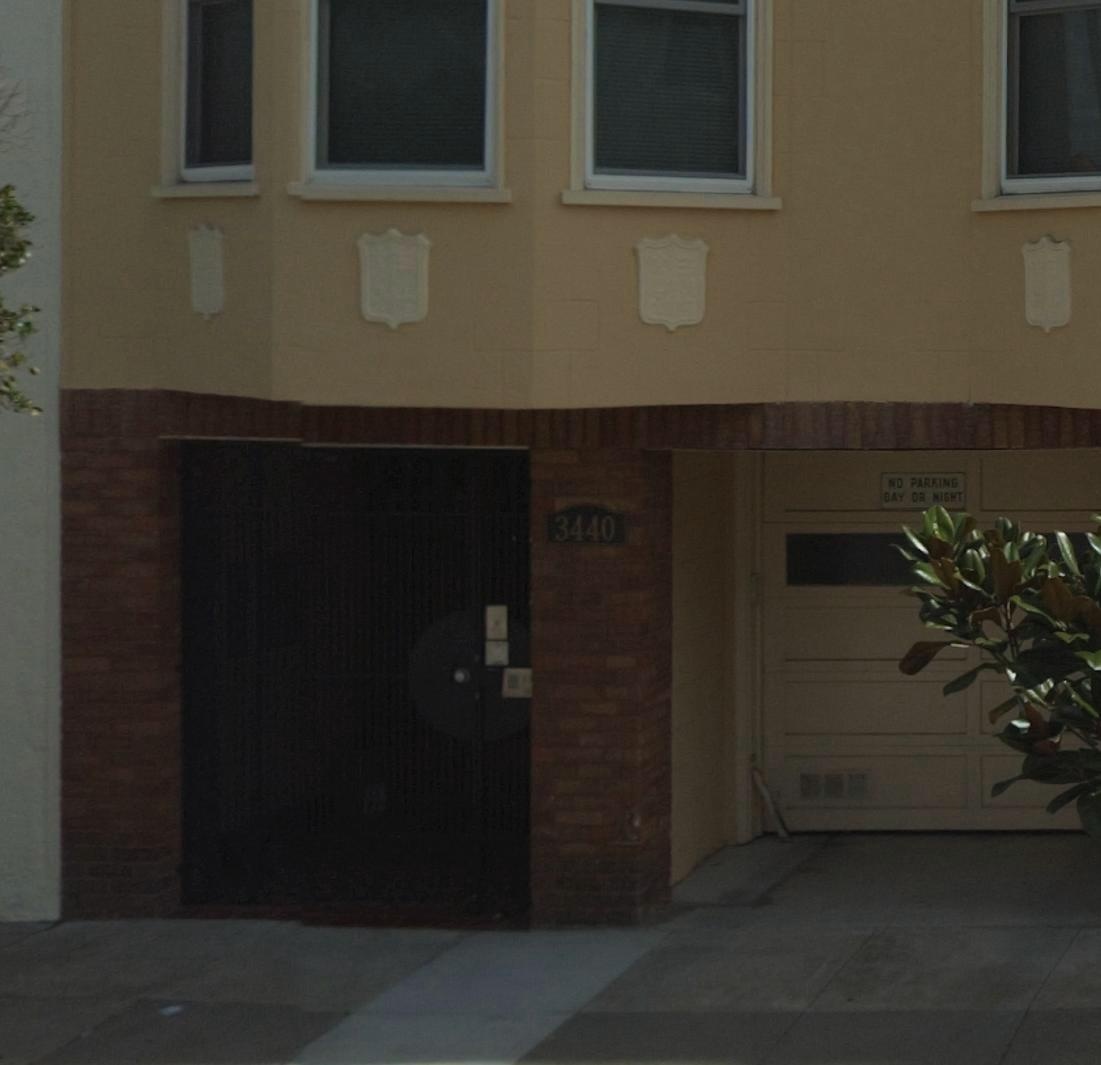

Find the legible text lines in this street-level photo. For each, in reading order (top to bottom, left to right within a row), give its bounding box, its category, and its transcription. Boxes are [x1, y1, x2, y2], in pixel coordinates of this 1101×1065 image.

[886, 475, 961, 490] None: NO PARKING
[881, 488, 966, 506] None: *AY OR NIGHT
[553, 512, 617, 545] StreetNumber: 3440